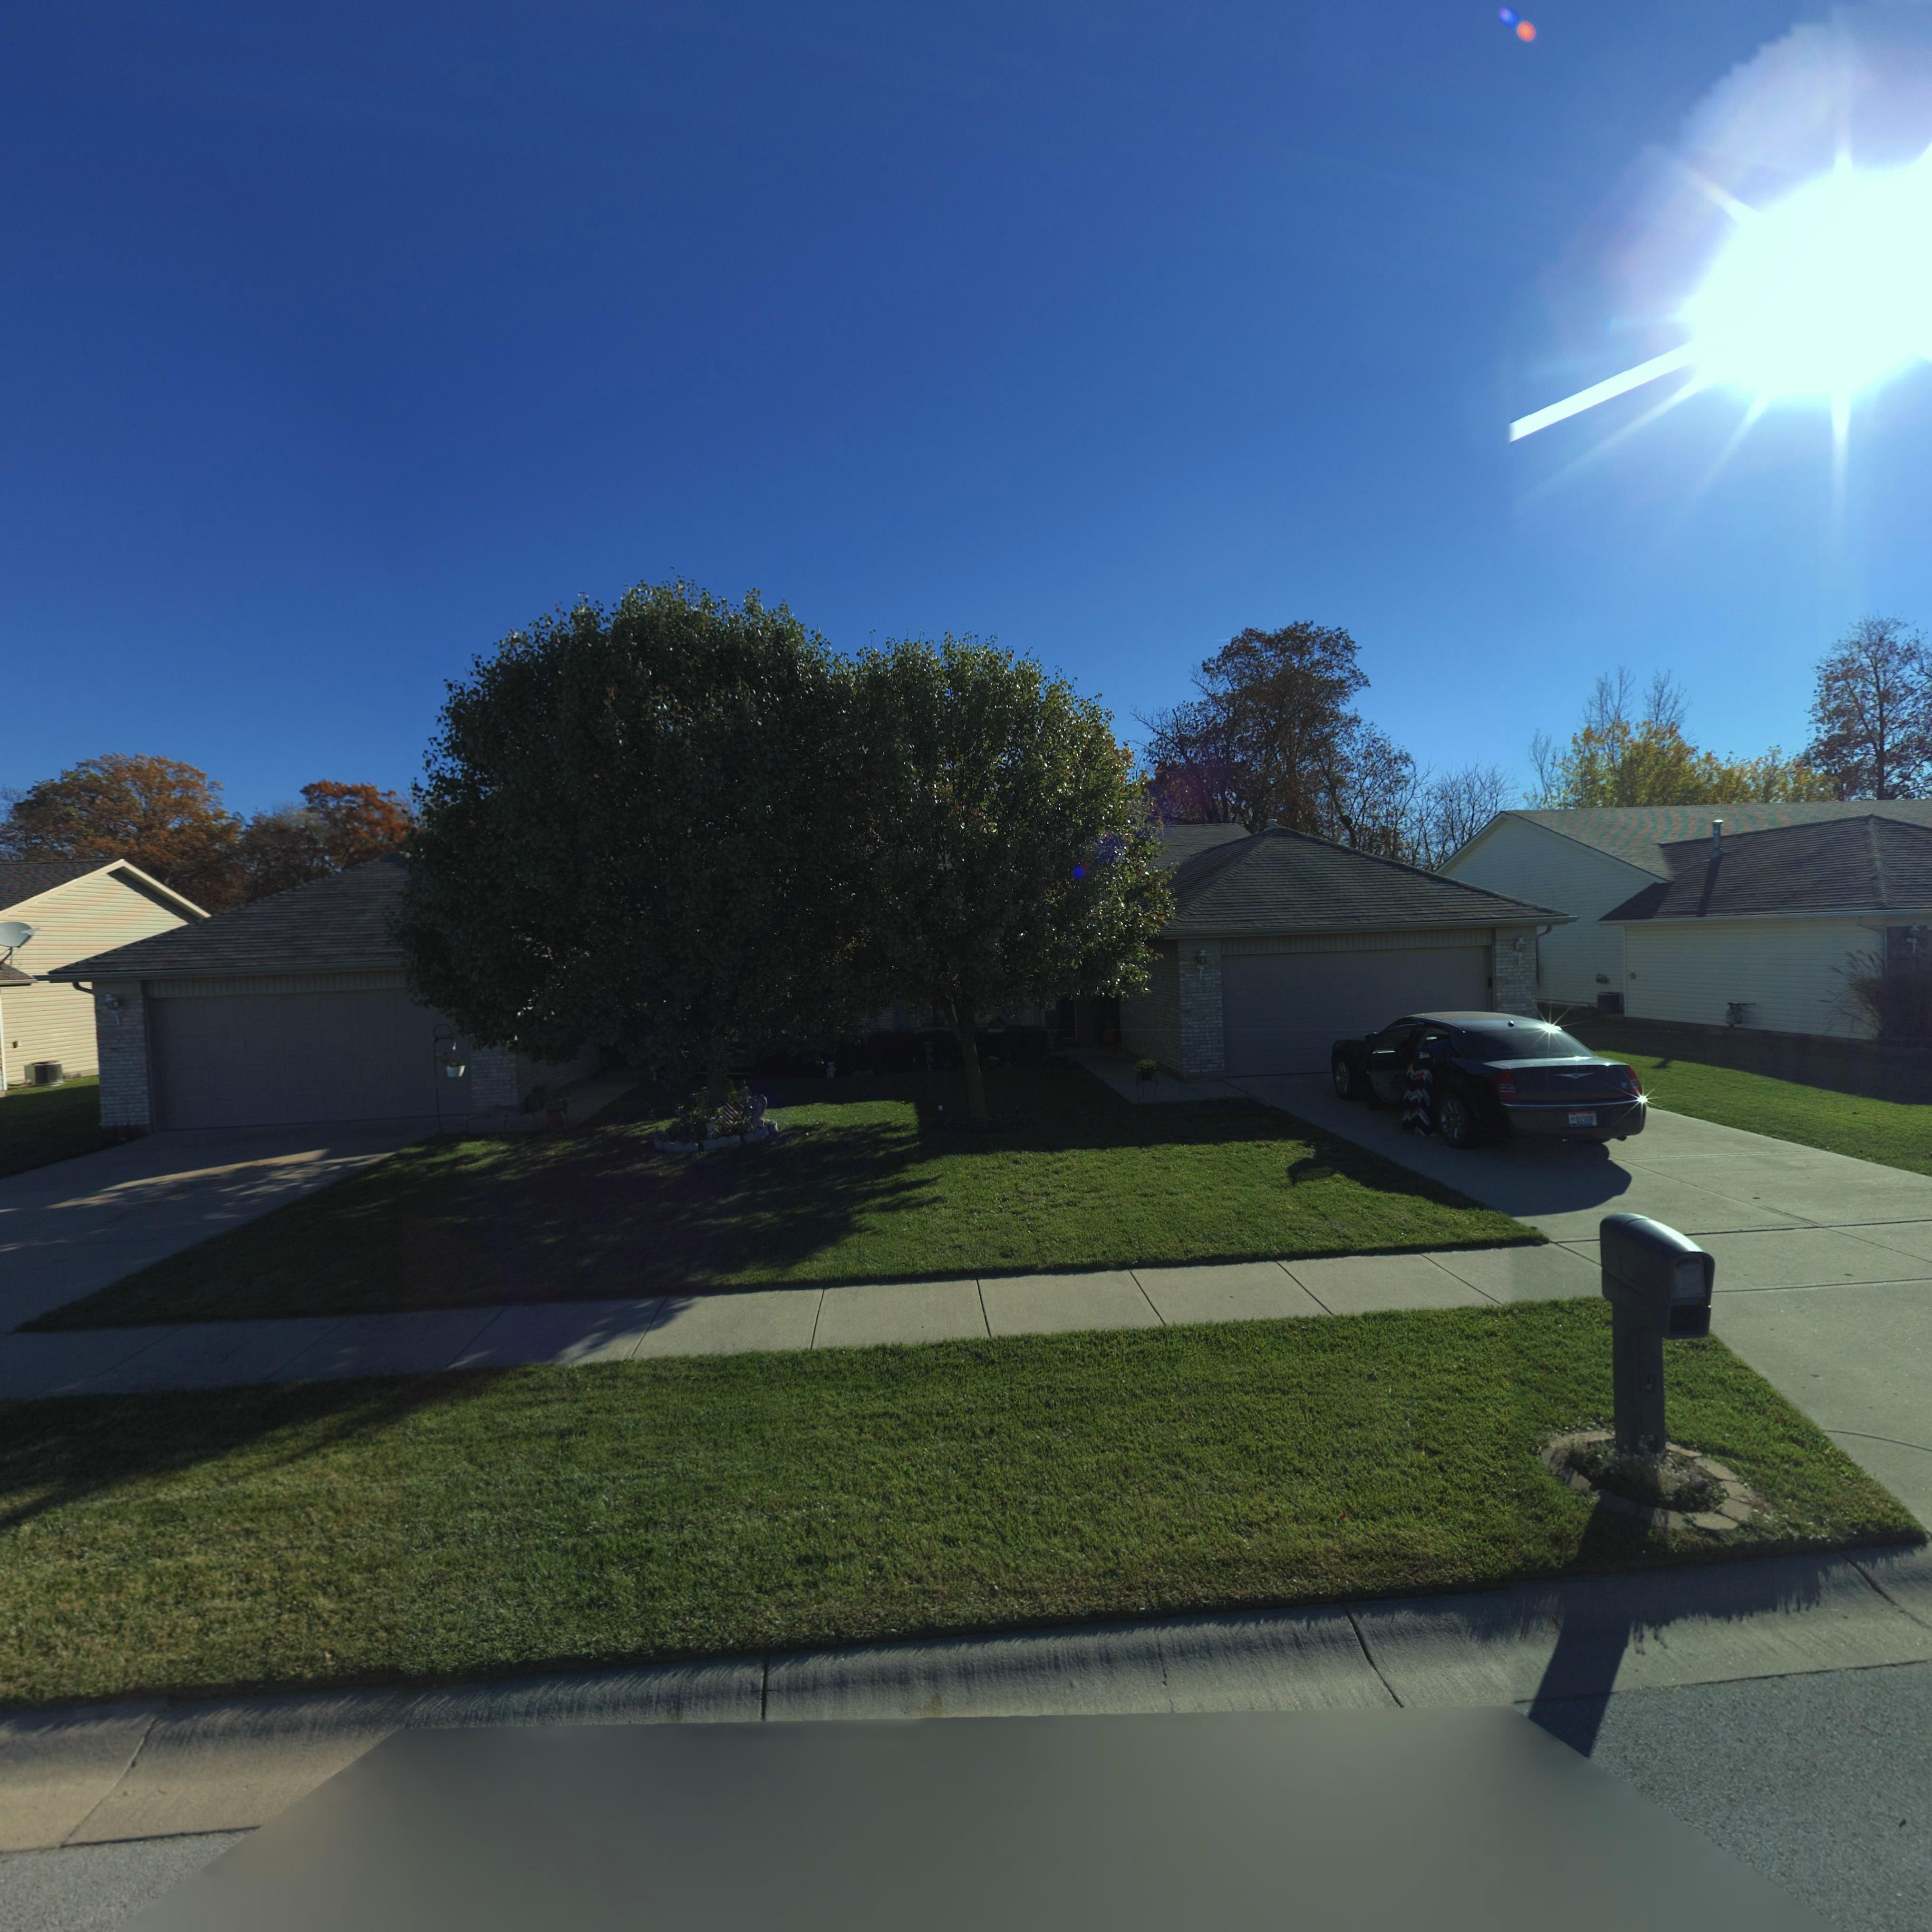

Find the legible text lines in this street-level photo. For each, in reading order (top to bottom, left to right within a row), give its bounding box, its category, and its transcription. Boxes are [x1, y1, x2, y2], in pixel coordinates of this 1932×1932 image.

[1195, 981, 1206, 988] StreetNumber: 179